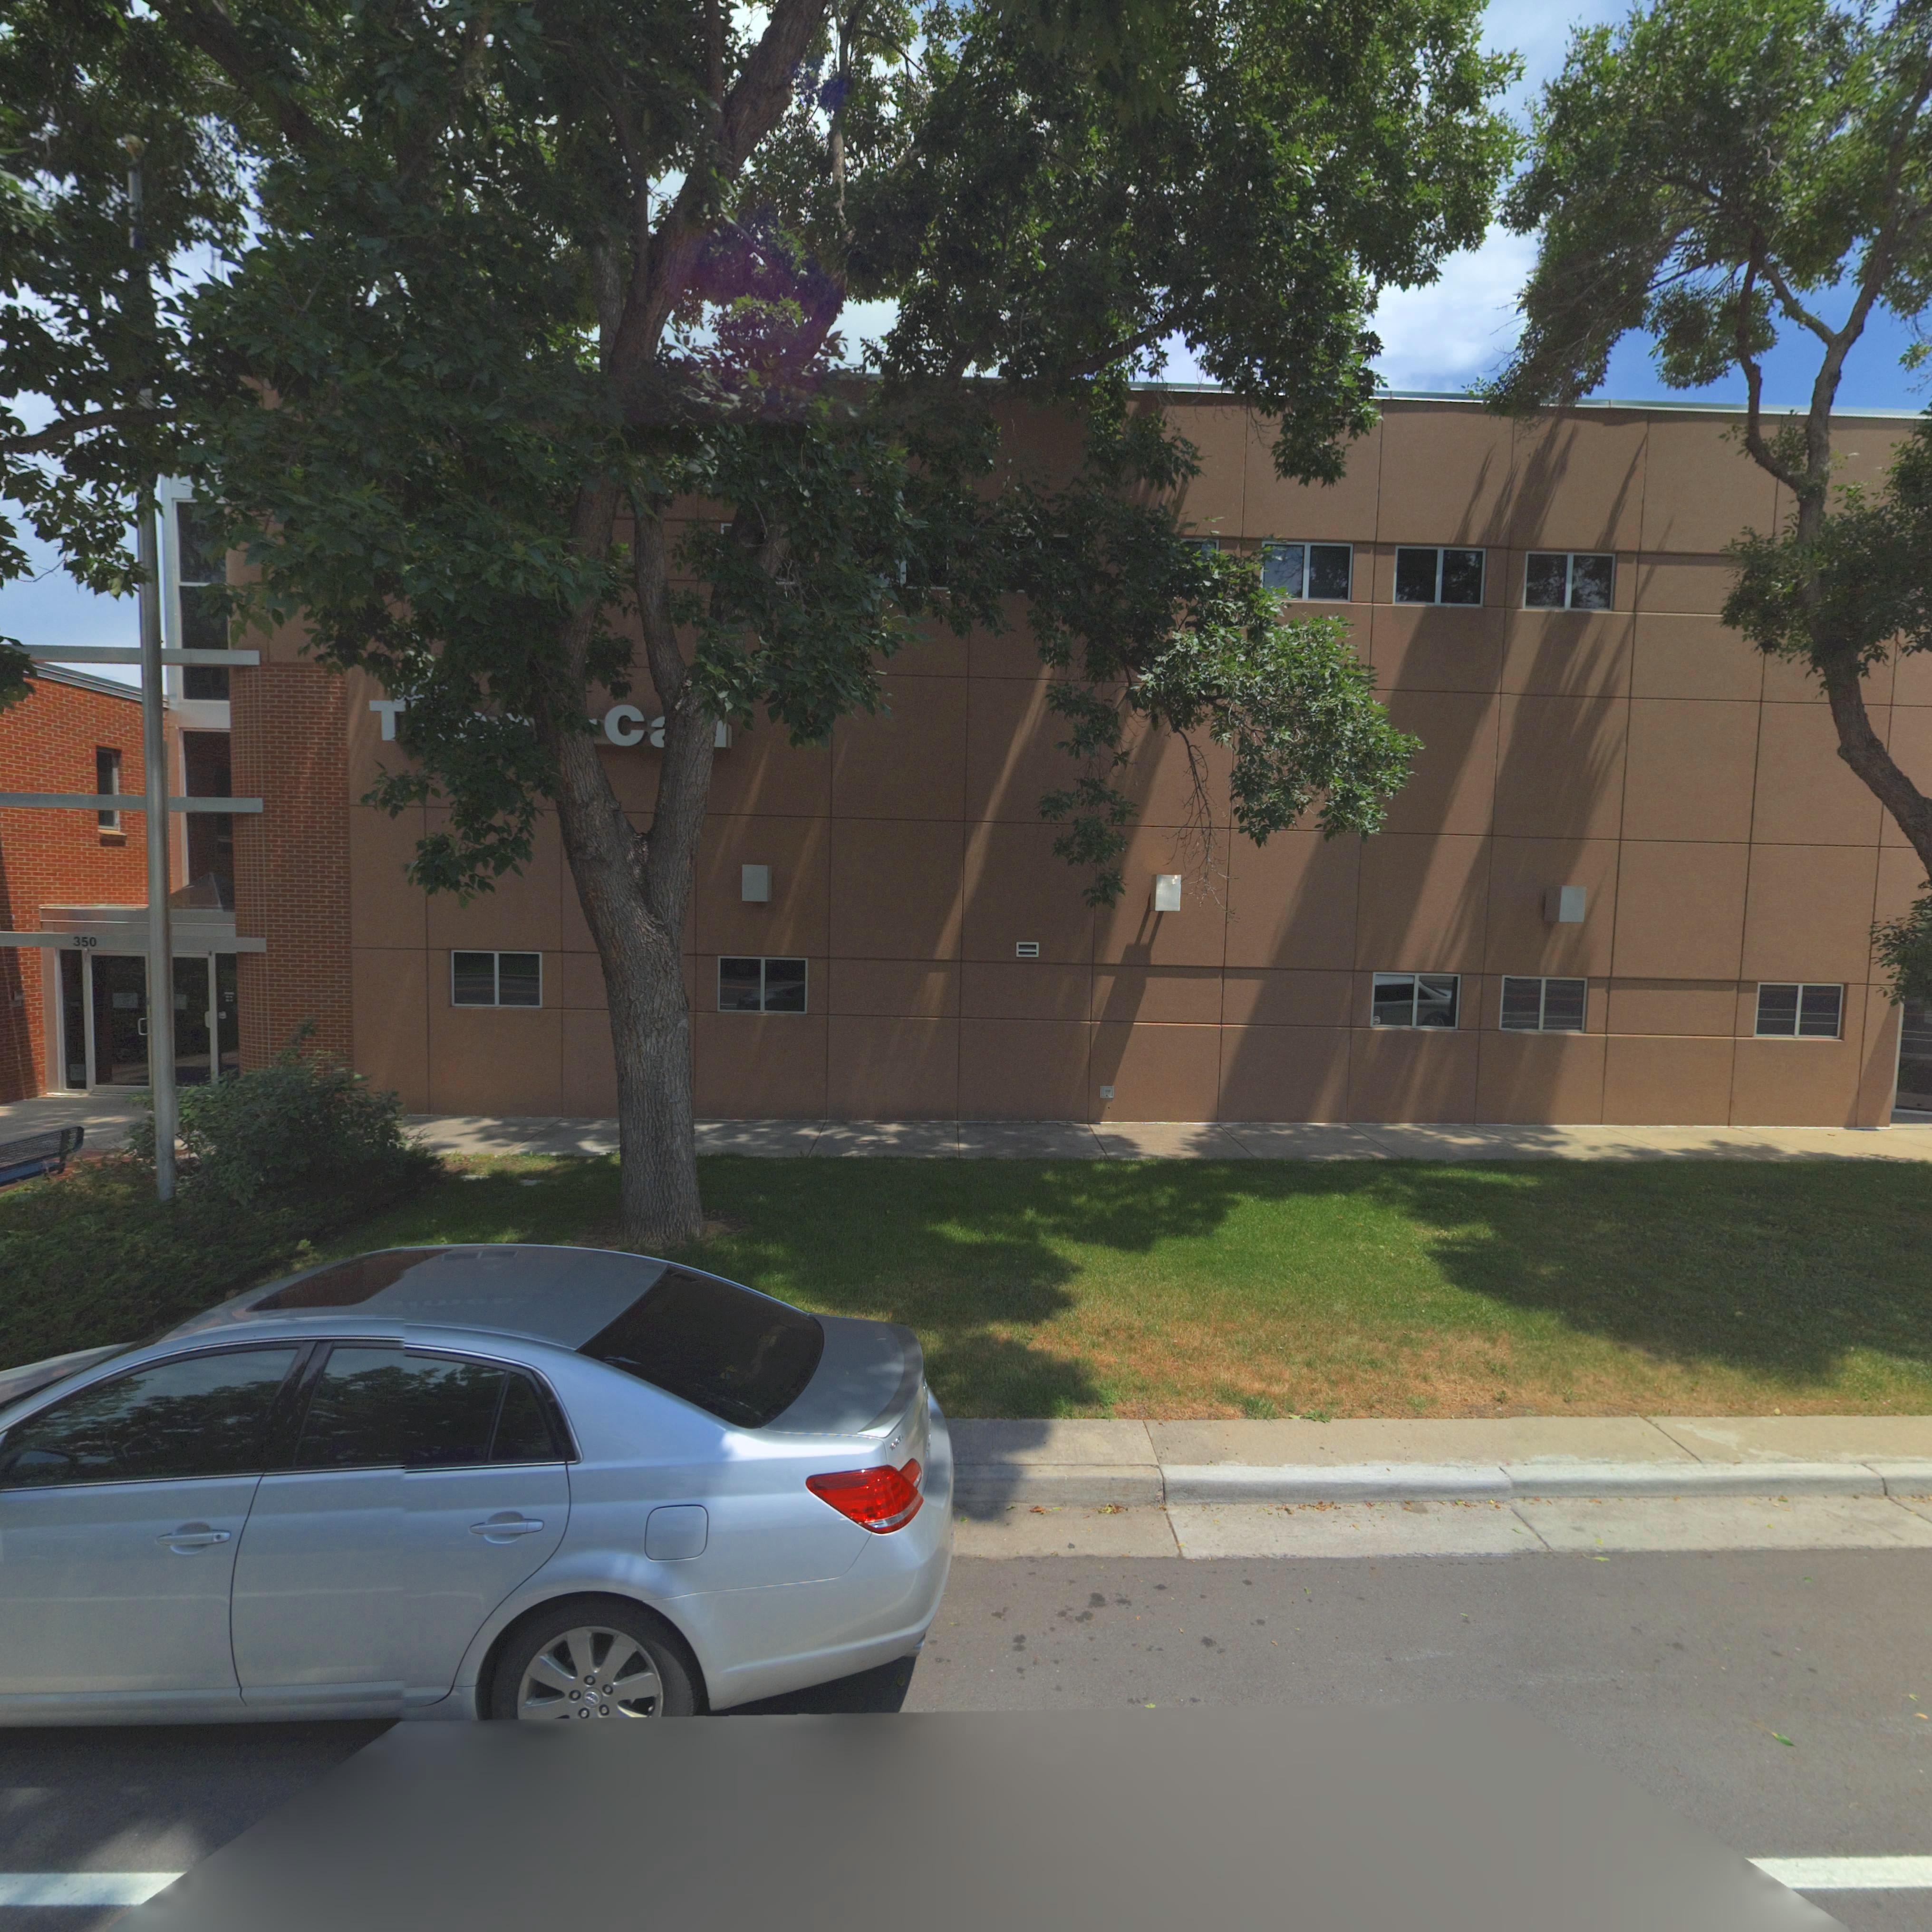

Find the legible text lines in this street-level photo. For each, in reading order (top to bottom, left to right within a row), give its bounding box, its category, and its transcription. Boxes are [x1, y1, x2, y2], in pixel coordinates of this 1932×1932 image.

[365, 698, 649, 749] BusinessName: T**** C
[73, 935, 97, 947] StreetNumber: 350